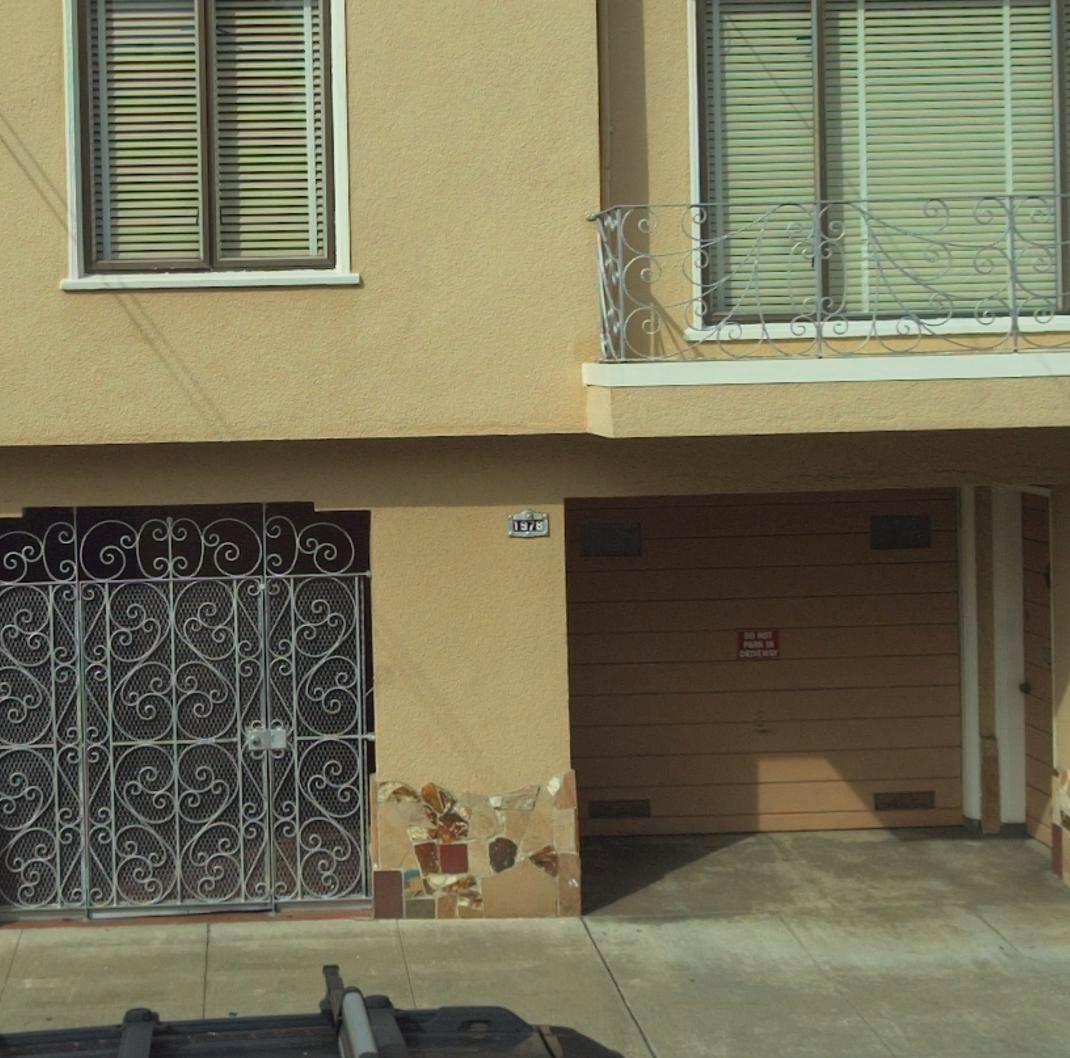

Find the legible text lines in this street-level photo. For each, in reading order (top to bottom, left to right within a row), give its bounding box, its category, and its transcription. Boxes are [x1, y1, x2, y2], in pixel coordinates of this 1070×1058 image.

[511, 518, 545, 534] StreetNumber: 1978